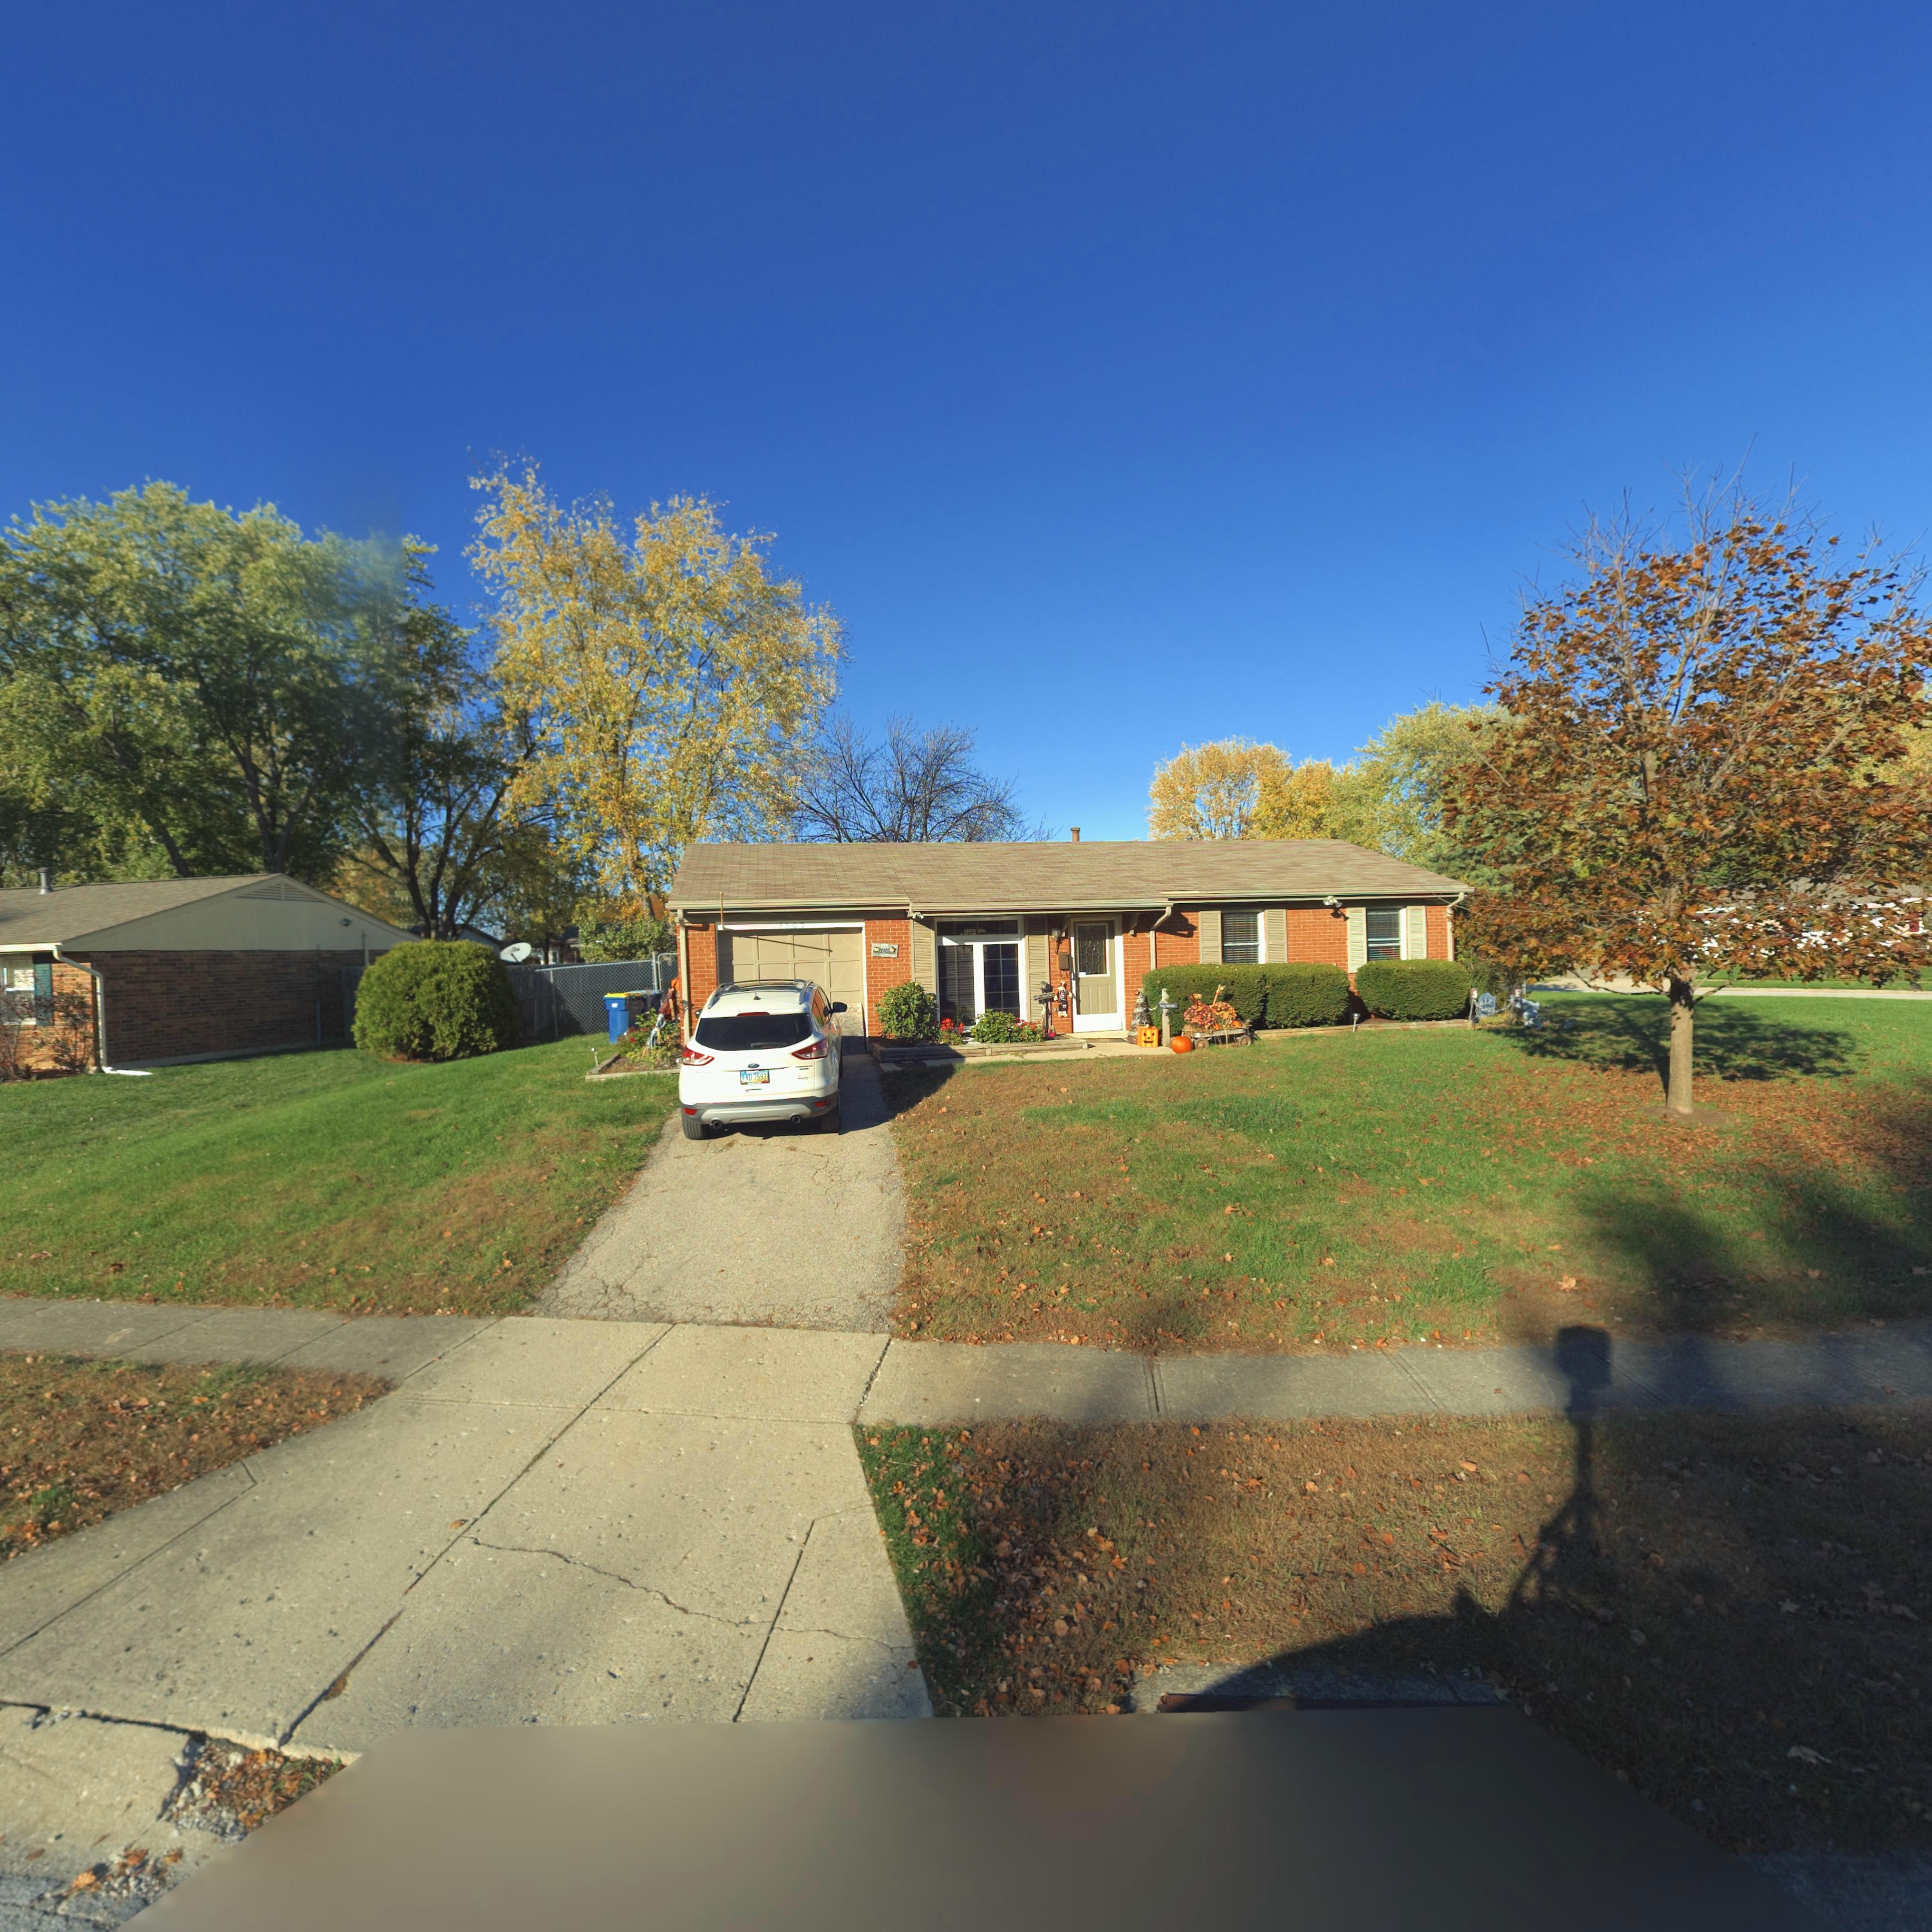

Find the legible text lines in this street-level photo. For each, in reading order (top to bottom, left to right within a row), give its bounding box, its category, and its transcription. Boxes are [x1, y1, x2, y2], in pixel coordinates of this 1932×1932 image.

[778, 921, 806, 929] StreetNumber: 4509